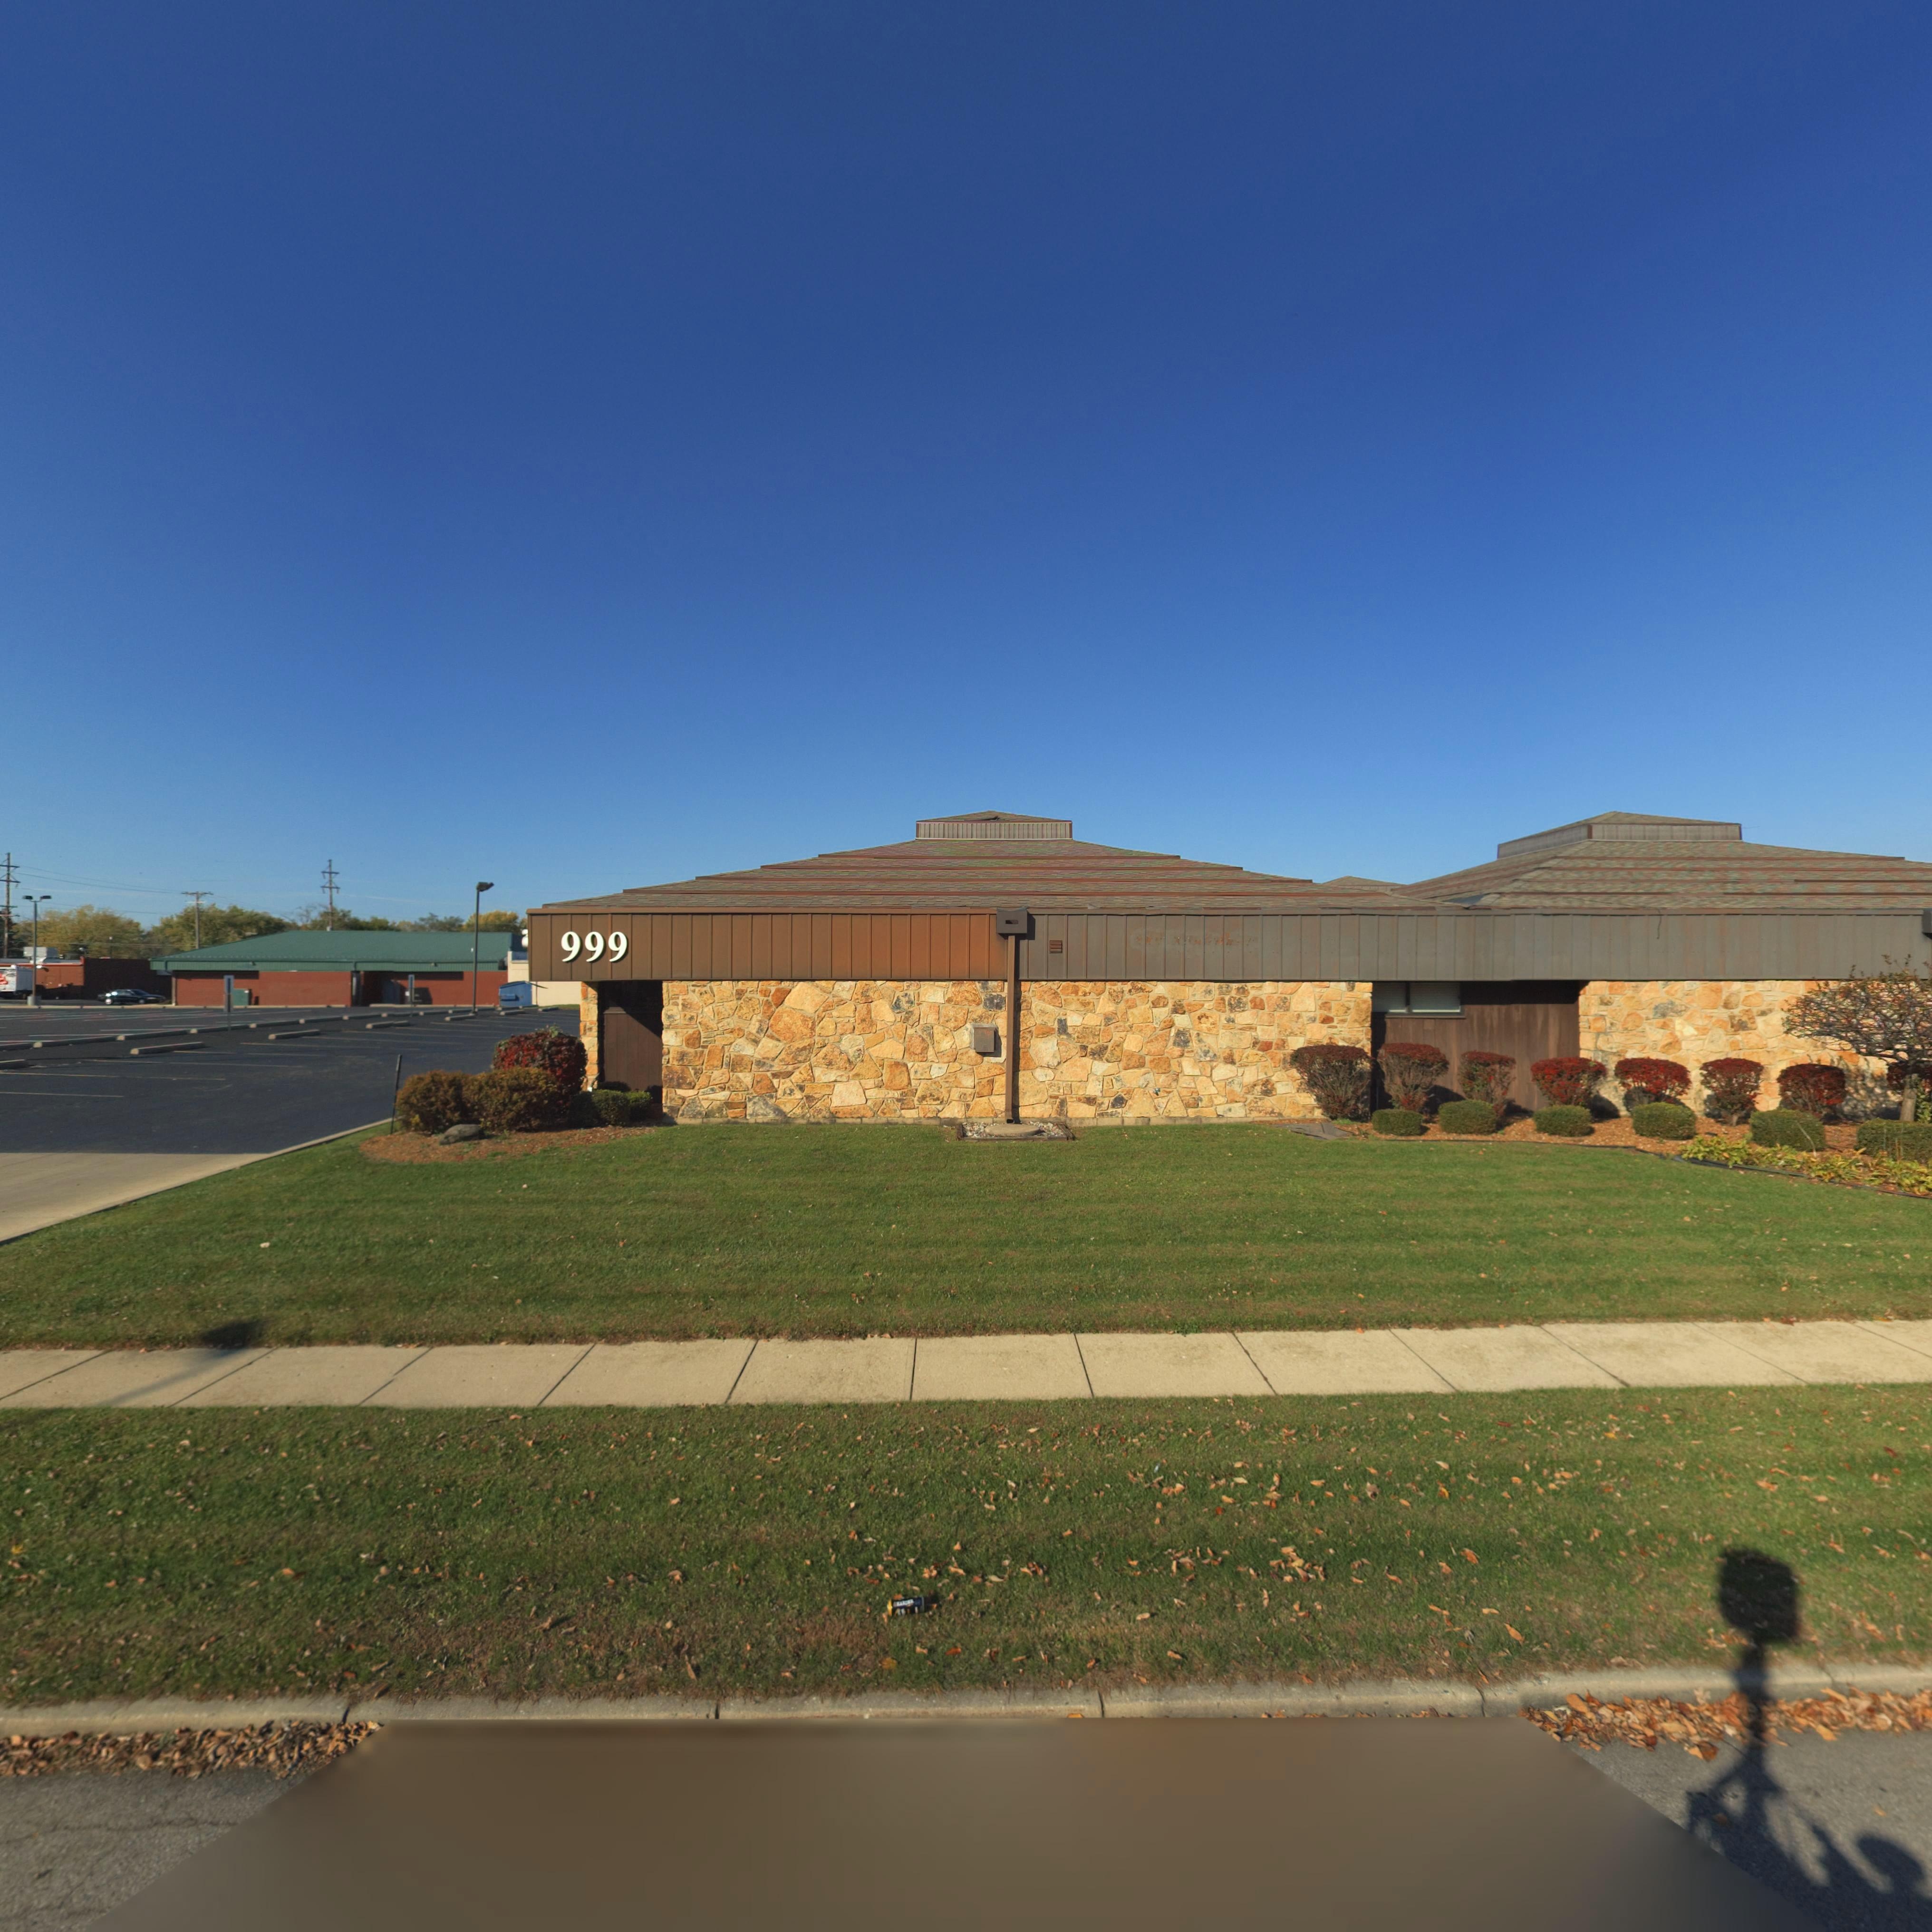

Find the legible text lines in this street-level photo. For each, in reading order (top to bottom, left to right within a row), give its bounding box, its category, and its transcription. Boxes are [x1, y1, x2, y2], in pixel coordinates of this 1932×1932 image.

[560, 931, 628, 963] StreetNumber: 999